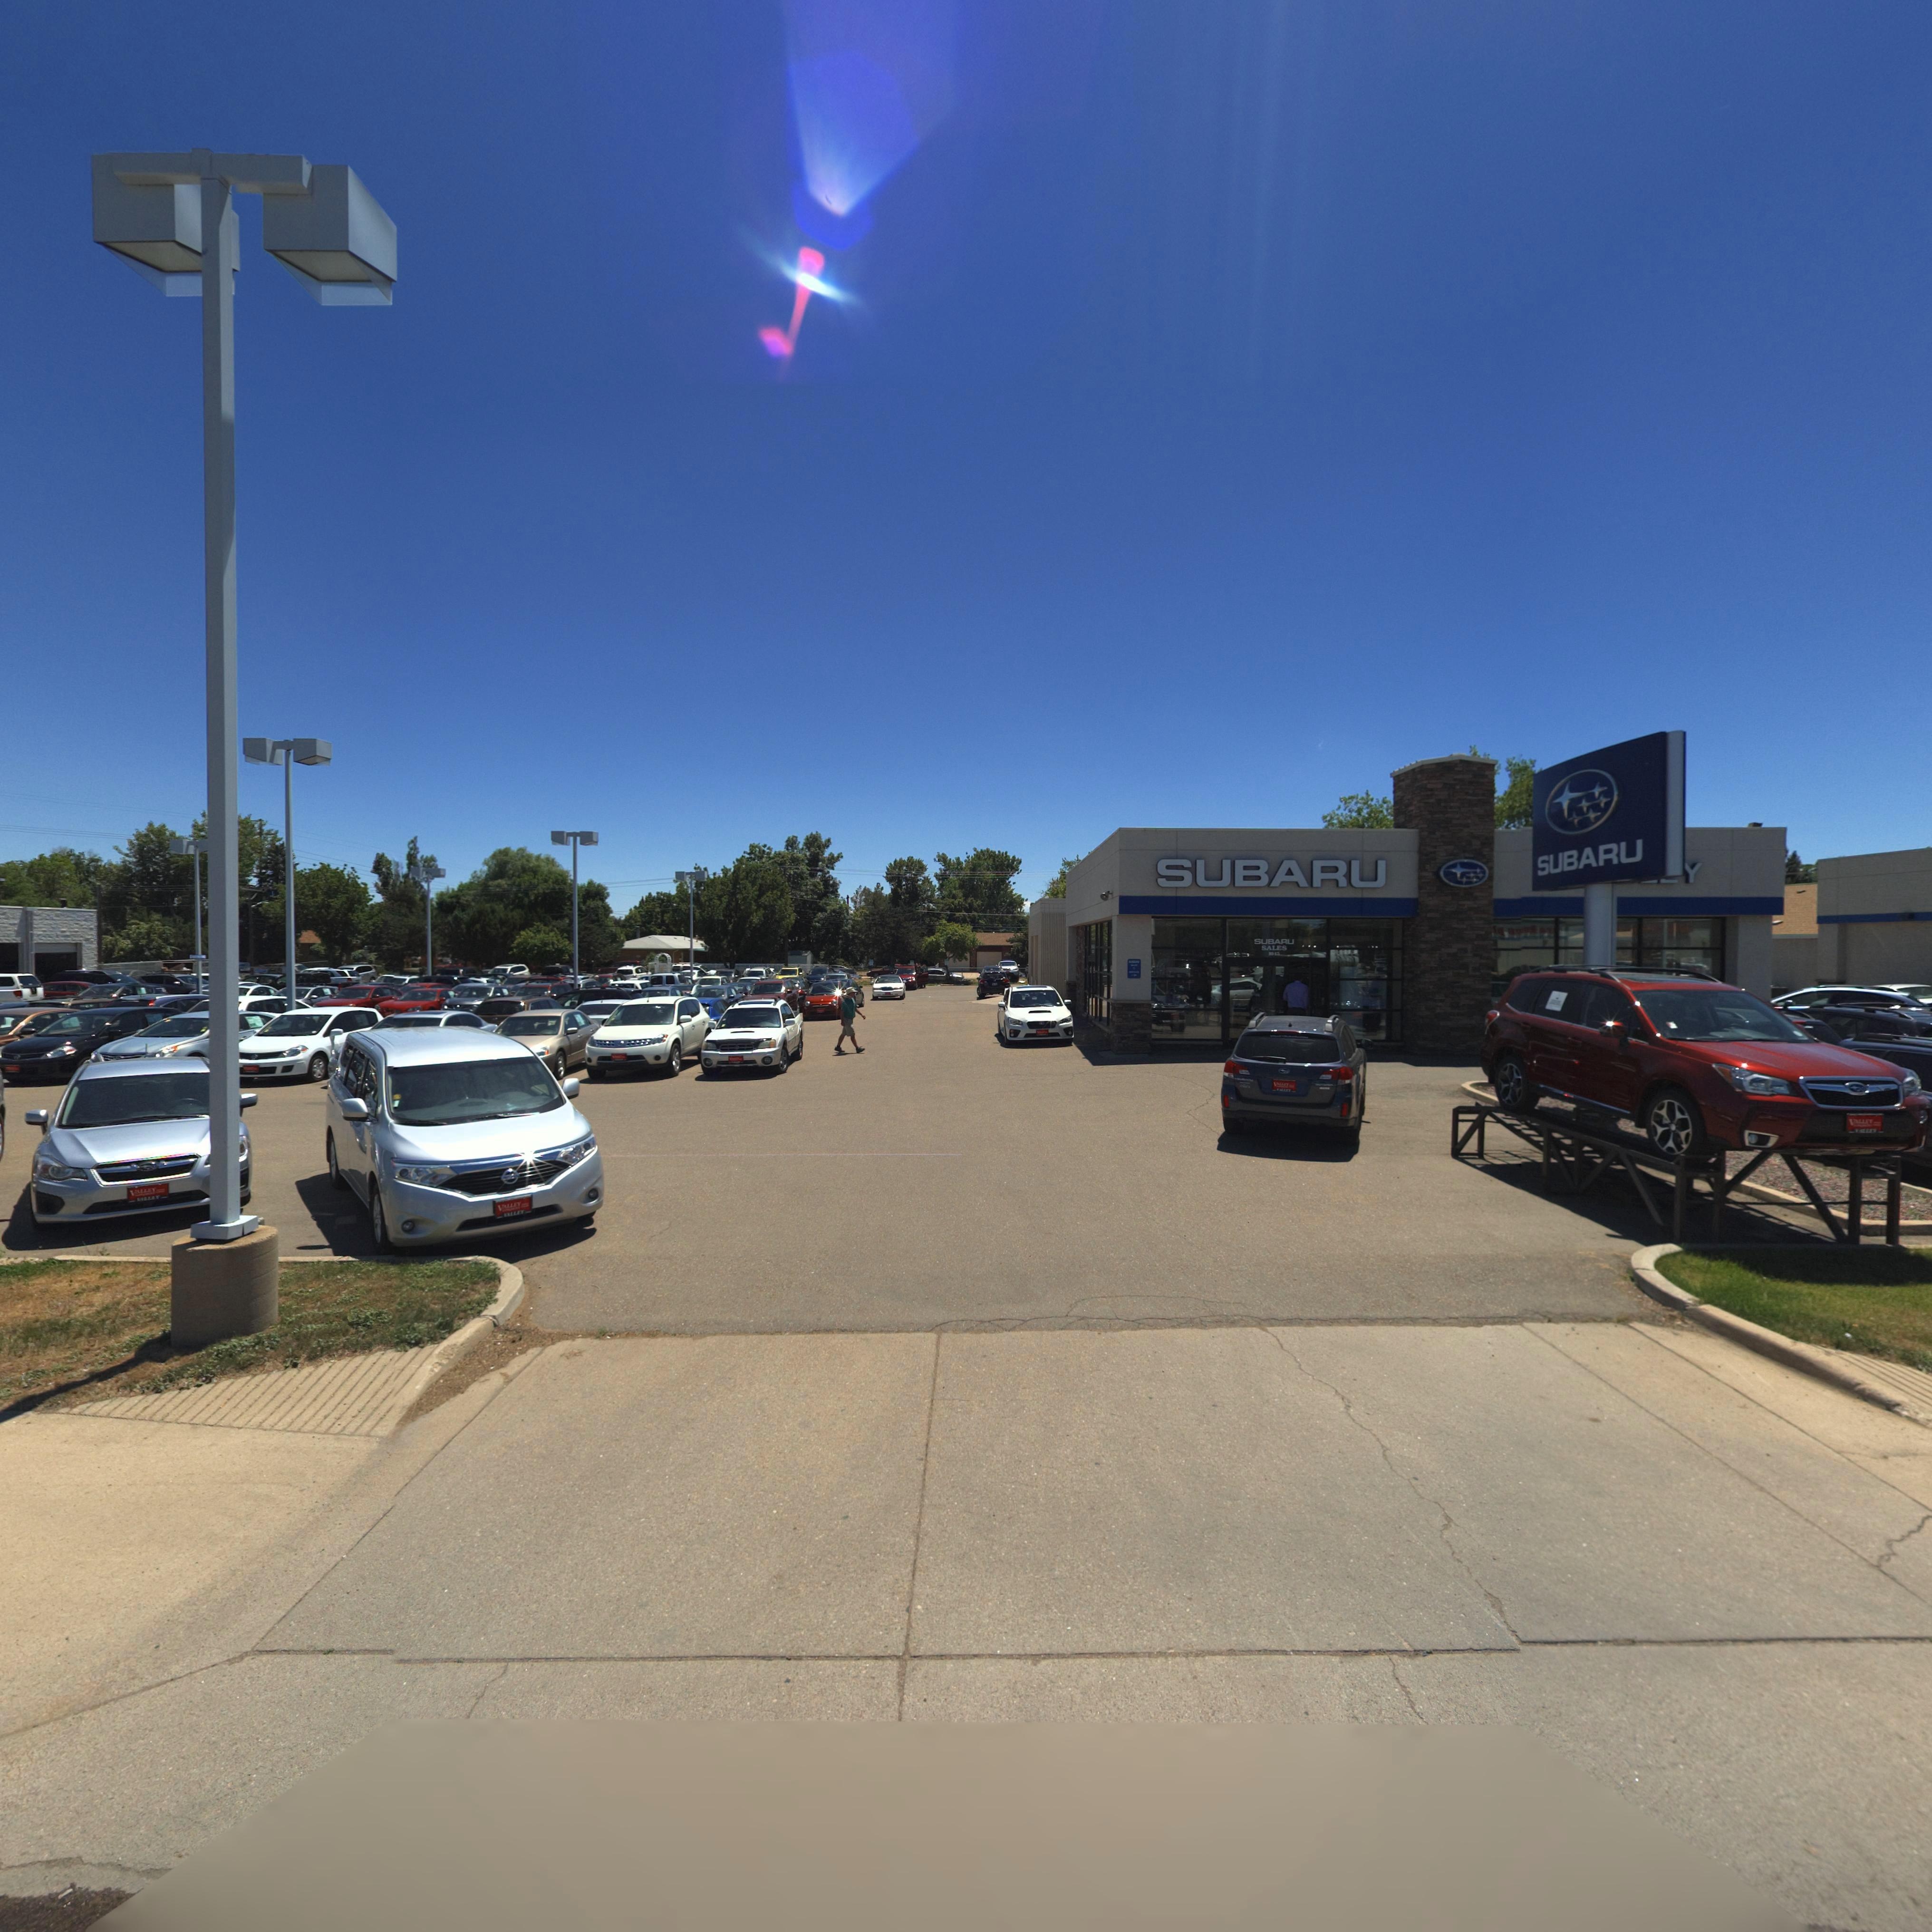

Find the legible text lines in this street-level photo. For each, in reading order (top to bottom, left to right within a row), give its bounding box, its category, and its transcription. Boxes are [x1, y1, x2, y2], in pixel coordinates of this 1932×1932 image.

[1536, 838, 1643, 876] BusinessName: SUBARU
[1156, 858, 1386, 888] BusinessName: SUBARU
[1683, 862, 1705, 884] BusinessName: Y
[1254, 938, 1294, 944] BusinessName: SUBARU
[1268, 951, 1280, 956] StreetNumber: 10*5
[1261, 945, 1287, 951] BusinessName: SALES